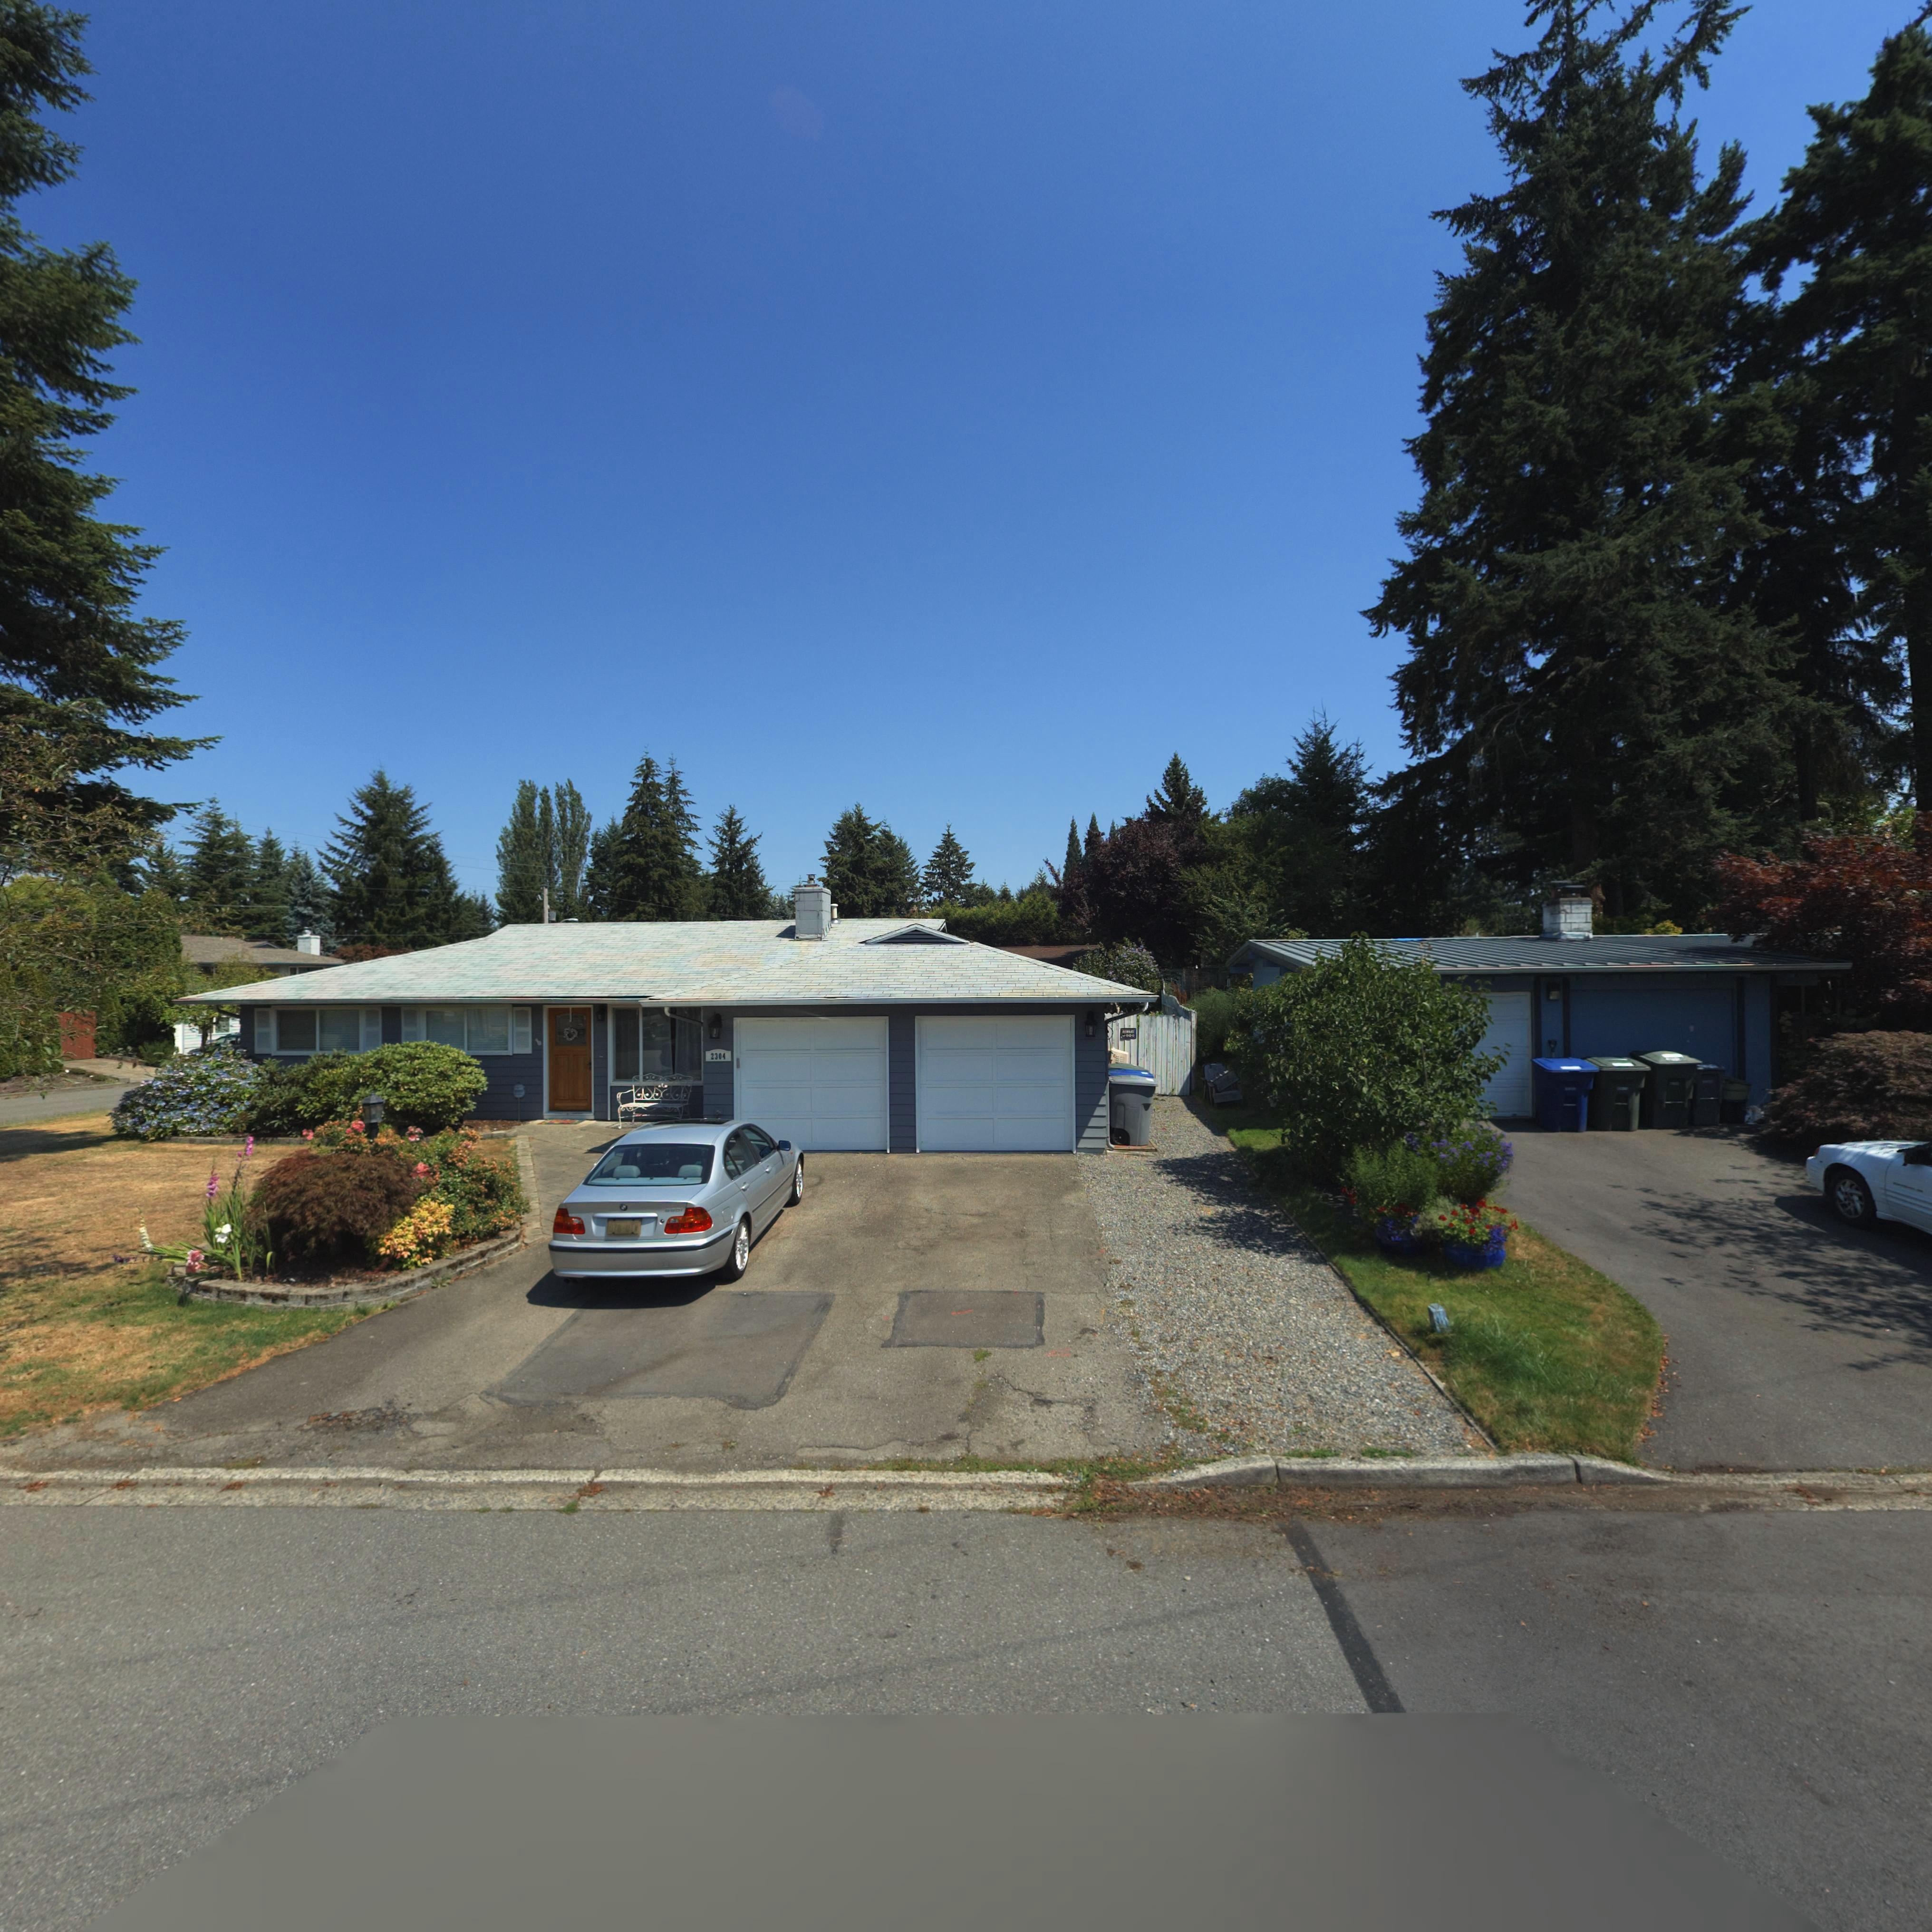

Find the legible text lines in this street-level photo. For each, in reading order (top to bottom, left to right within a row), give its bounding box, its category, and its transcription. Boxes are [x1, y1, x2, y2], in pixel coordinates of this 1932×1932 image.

[710, 1052, 726, 1060] StreetNumber: 2304